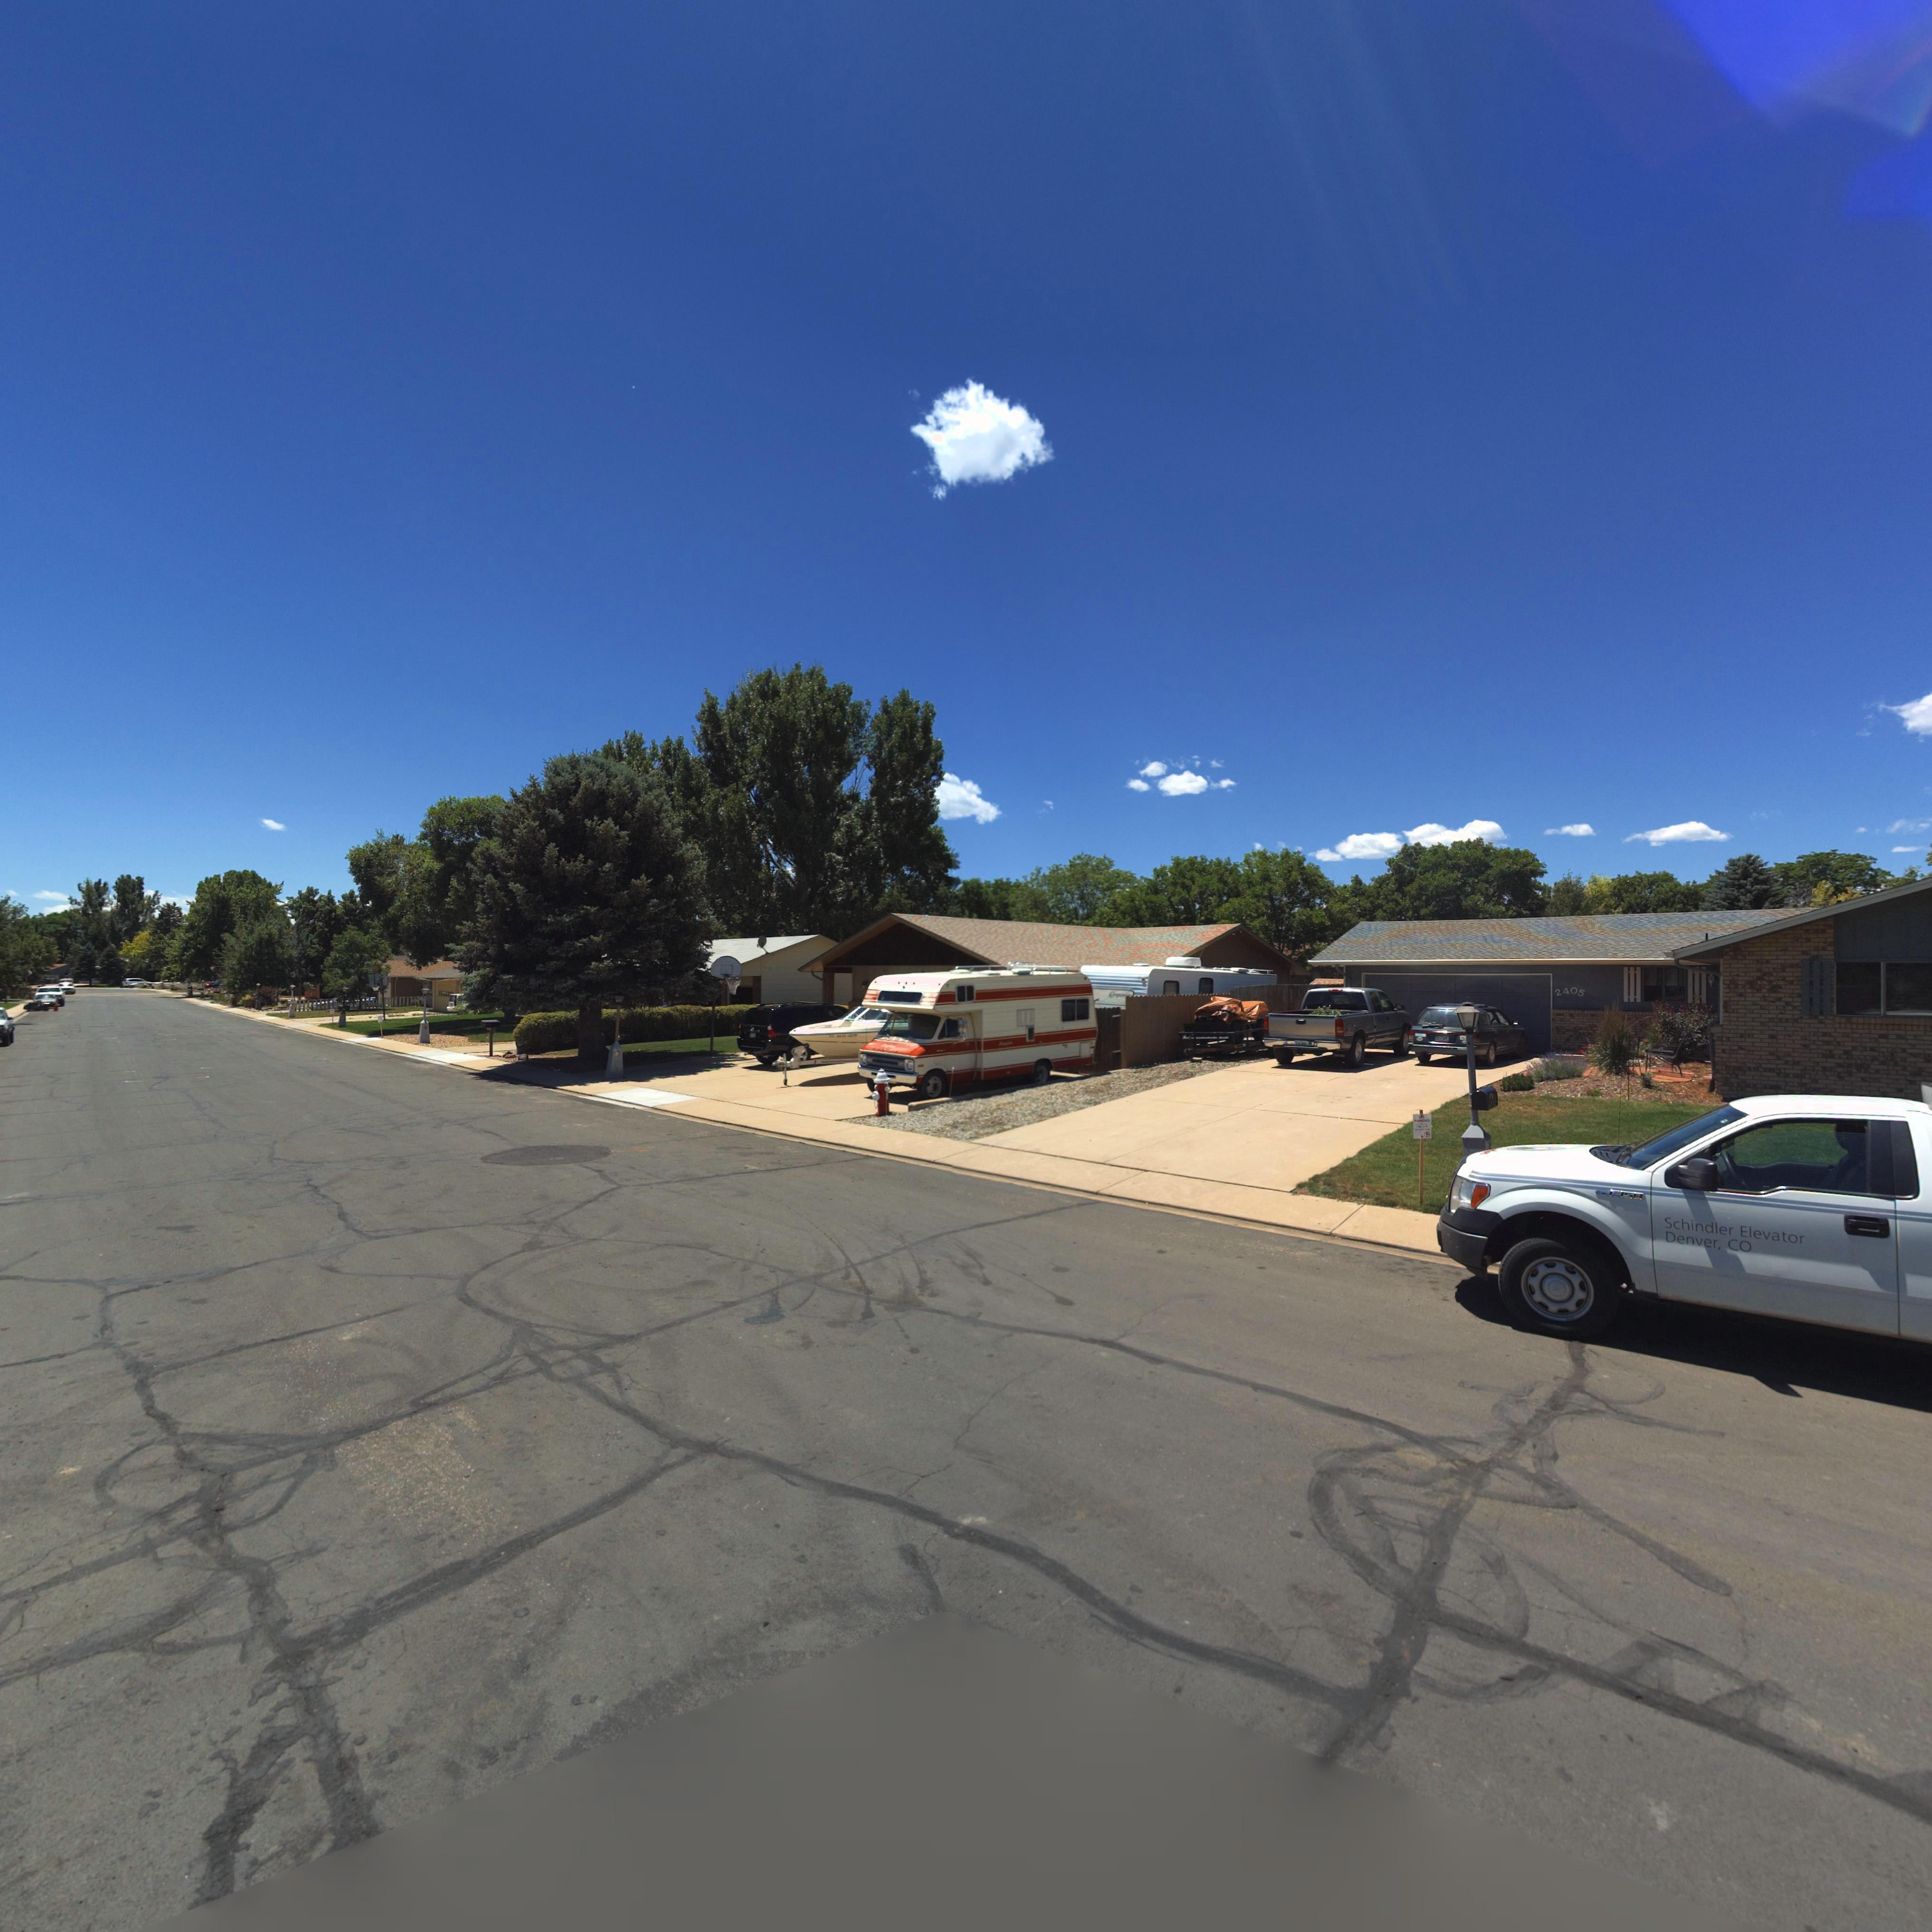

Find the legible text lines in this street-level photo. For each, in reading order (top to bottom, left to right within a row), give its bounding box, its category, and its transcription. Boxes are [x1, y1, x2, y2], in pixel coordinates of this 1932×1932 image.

[1554, 986, 1585, 997] StreetNumber: 2405